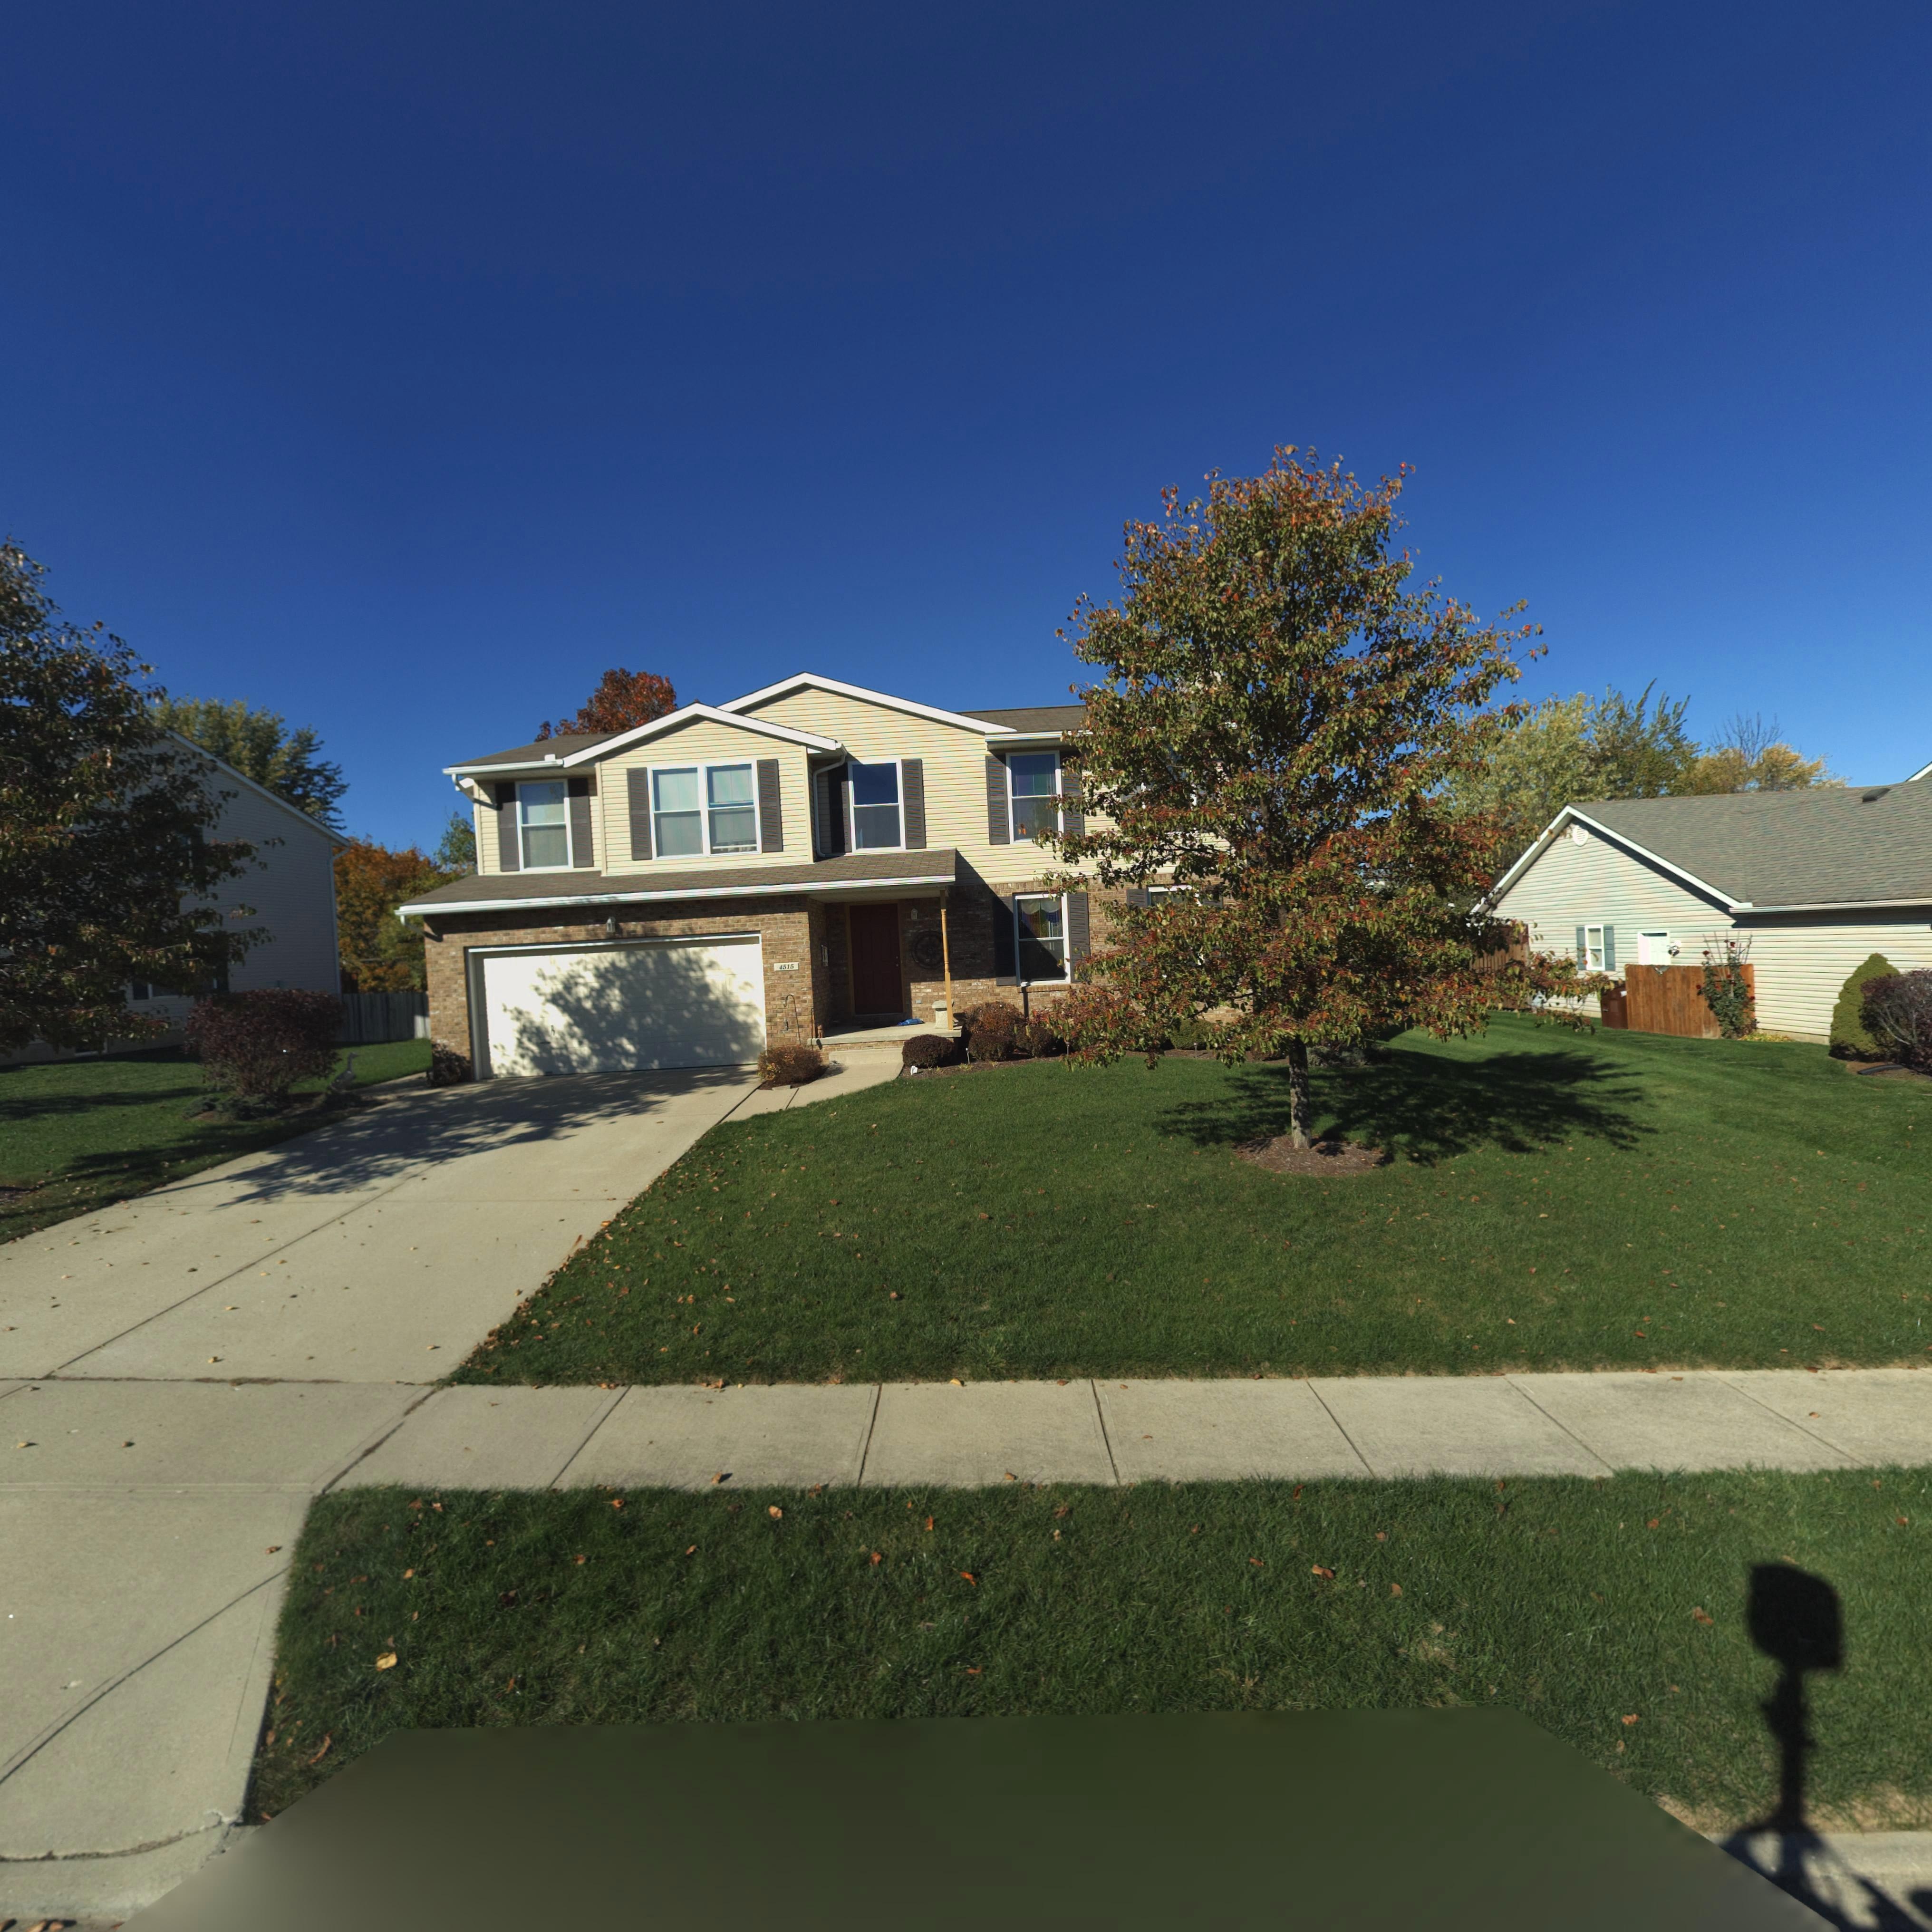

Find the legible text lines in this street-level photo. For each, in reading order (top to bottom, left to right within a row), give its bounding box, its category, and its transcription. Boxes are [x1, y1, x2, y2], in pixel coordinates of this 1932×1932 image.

[778, 963, 795, 971] StreetNumber: 4515